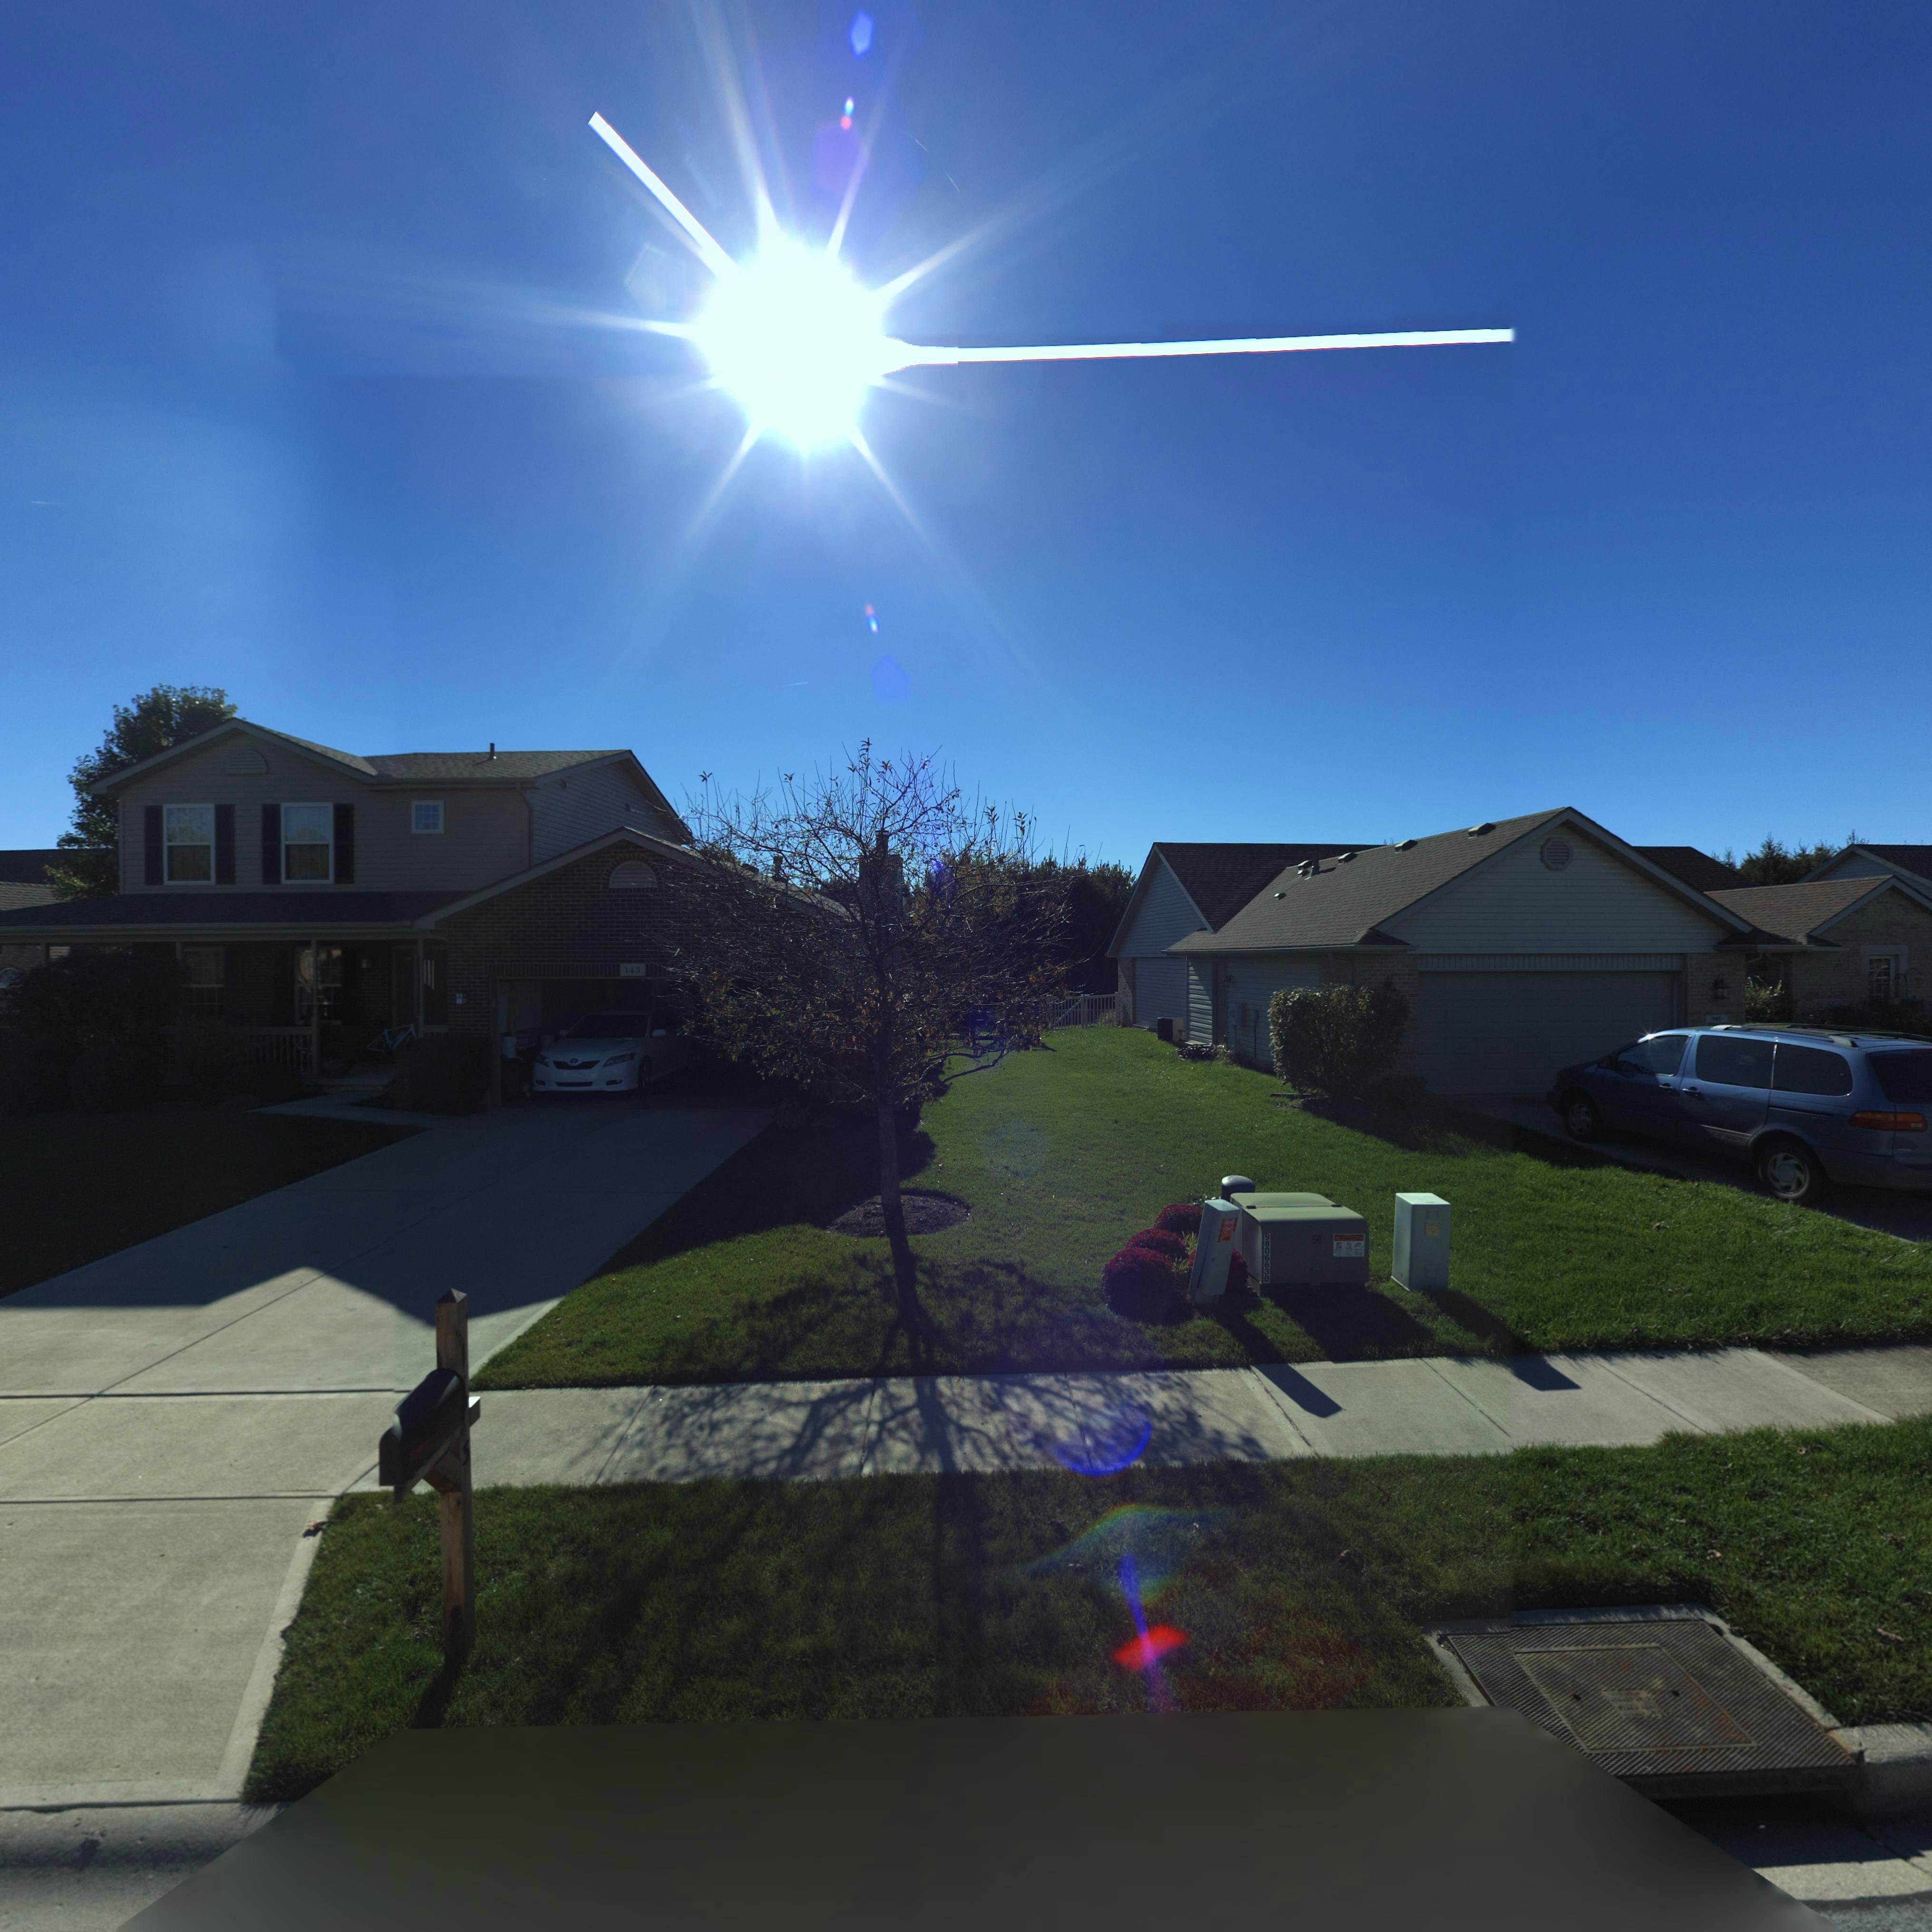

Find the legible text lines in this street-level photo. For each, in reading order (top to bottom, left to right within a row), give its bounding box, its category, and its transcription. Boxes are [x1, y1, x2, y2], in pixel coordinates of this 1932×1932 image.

[624, 966, 640, 974] StreetNumber: 143
[1712, 1015, 1721, 1021] StreetNumber: 145
[458, 1338, 471, 1468] StreetNumber: 1*3